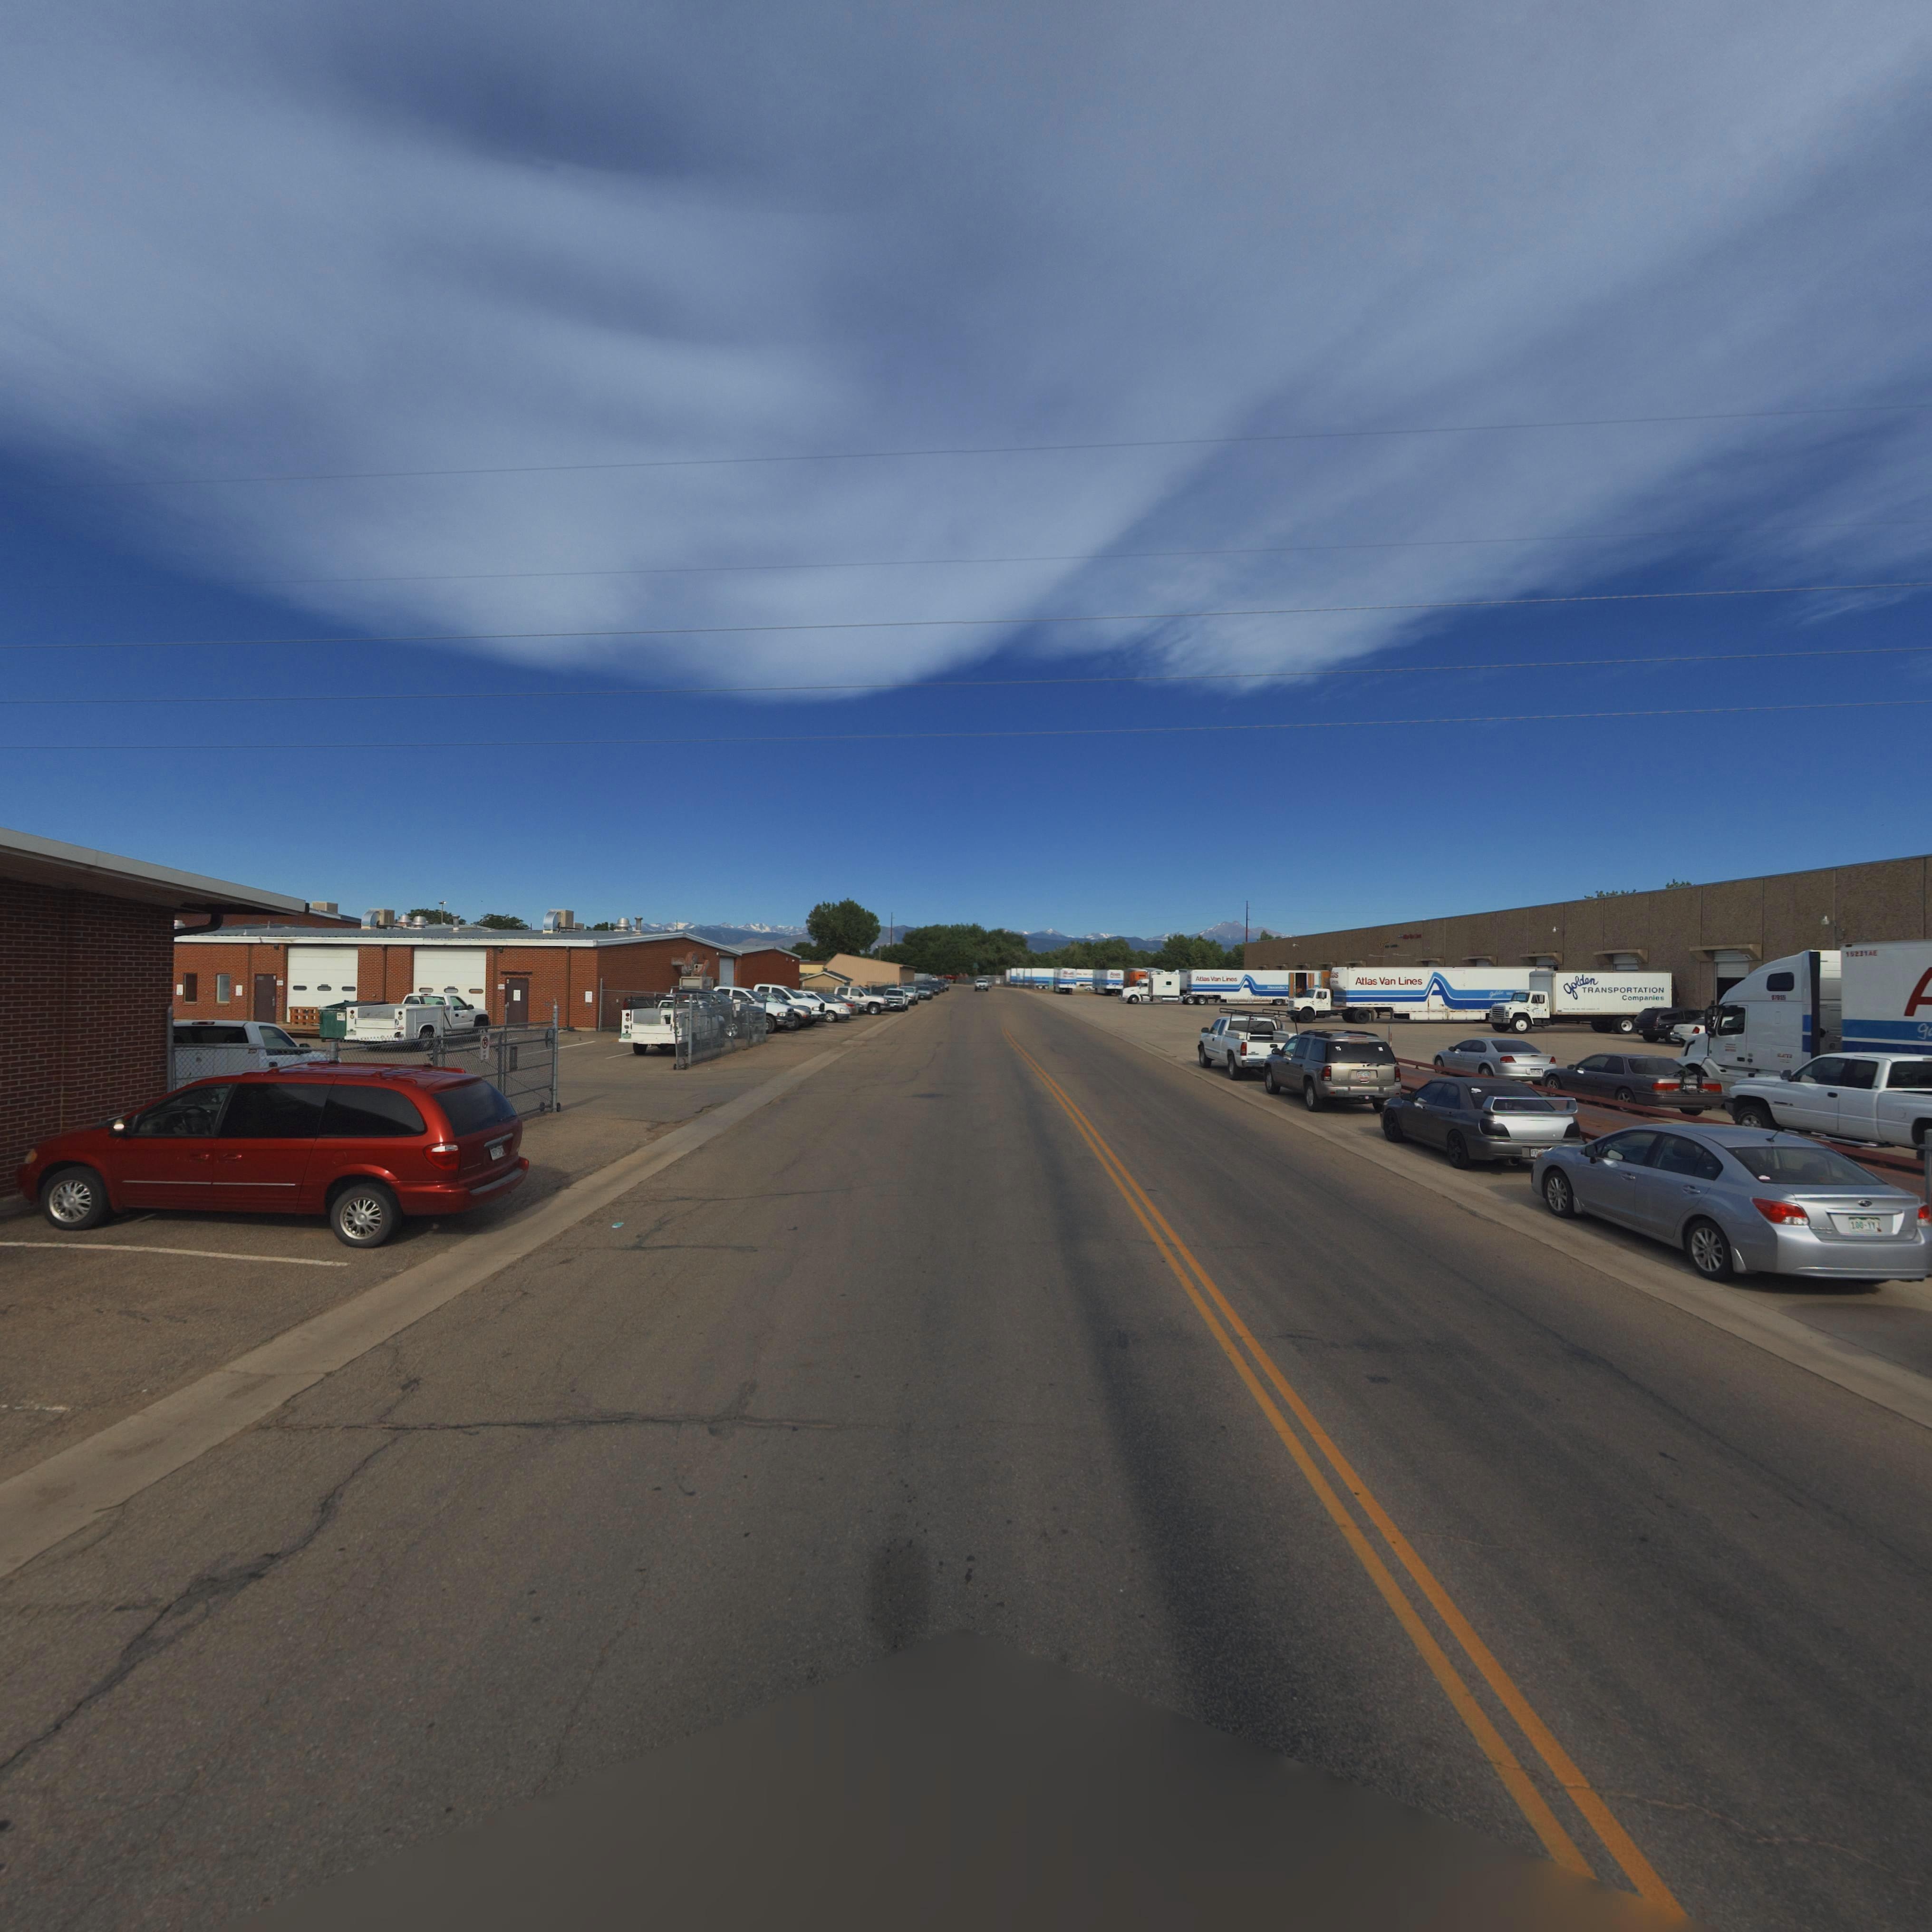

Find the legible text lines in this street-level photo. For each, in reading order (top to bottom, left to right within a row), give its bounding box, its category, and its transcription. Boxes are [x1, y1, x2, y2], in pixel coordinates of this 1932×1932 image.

[1379, 935, 1390, 952] BusinessName: g*****